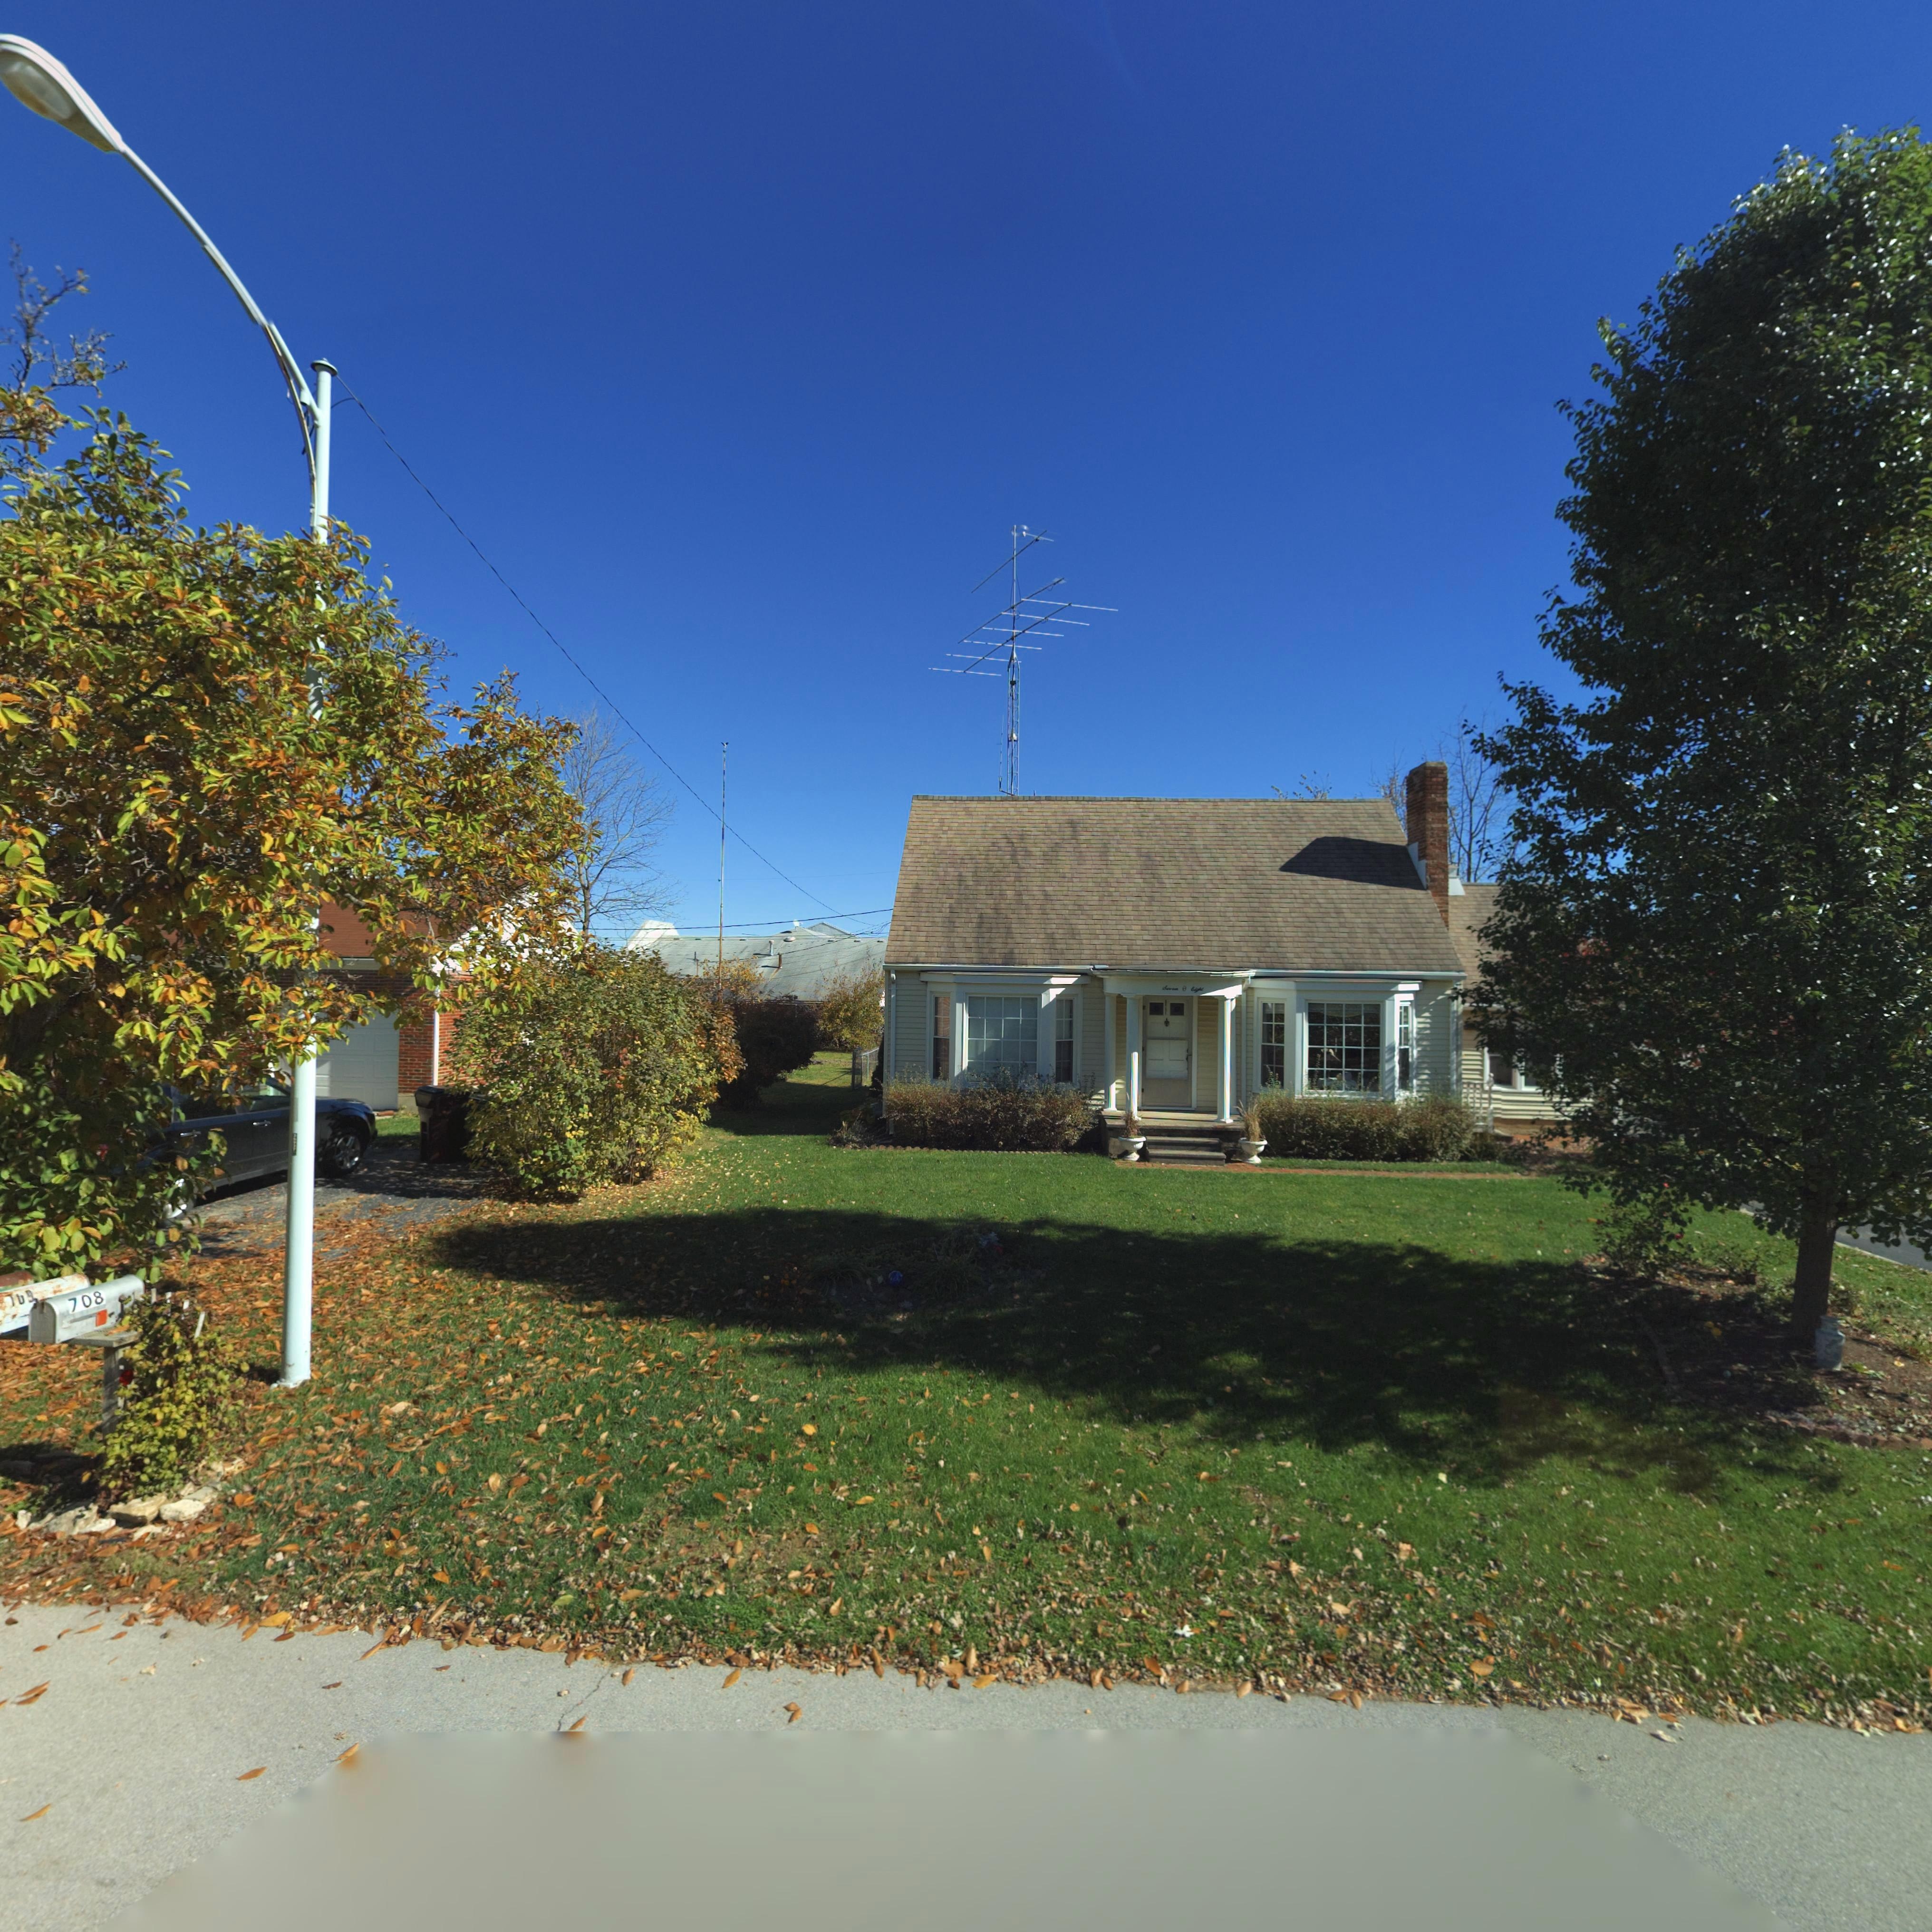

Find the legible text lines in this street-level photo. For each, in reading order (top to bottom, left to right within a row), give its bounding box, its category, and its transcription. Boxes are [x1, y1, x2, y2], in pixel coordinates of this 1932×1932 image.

[1161, 985, 1205, 993] StreetNumber: Seven 0 Eight
[4, 1289, 35, 1307] StreetNumber: 709
[67, 1290, 104, 1314] StreetNumber: 708